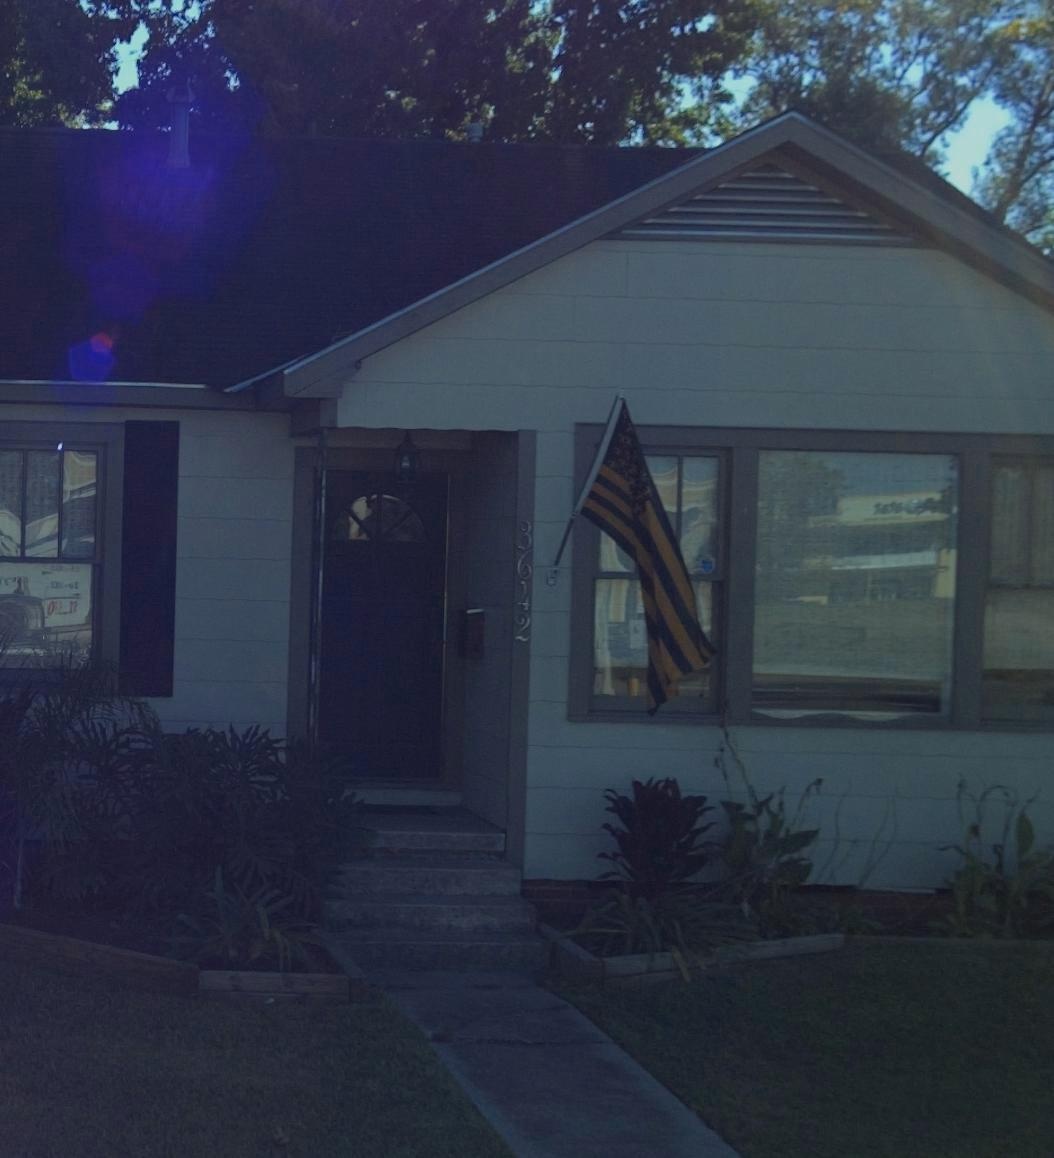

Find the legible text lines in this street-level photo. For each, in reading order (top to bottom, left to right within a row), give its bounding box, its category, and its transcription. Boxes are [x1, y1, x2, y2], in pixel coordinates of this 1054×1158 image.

[512, 517, 536, 645] StreetNumber: 3642